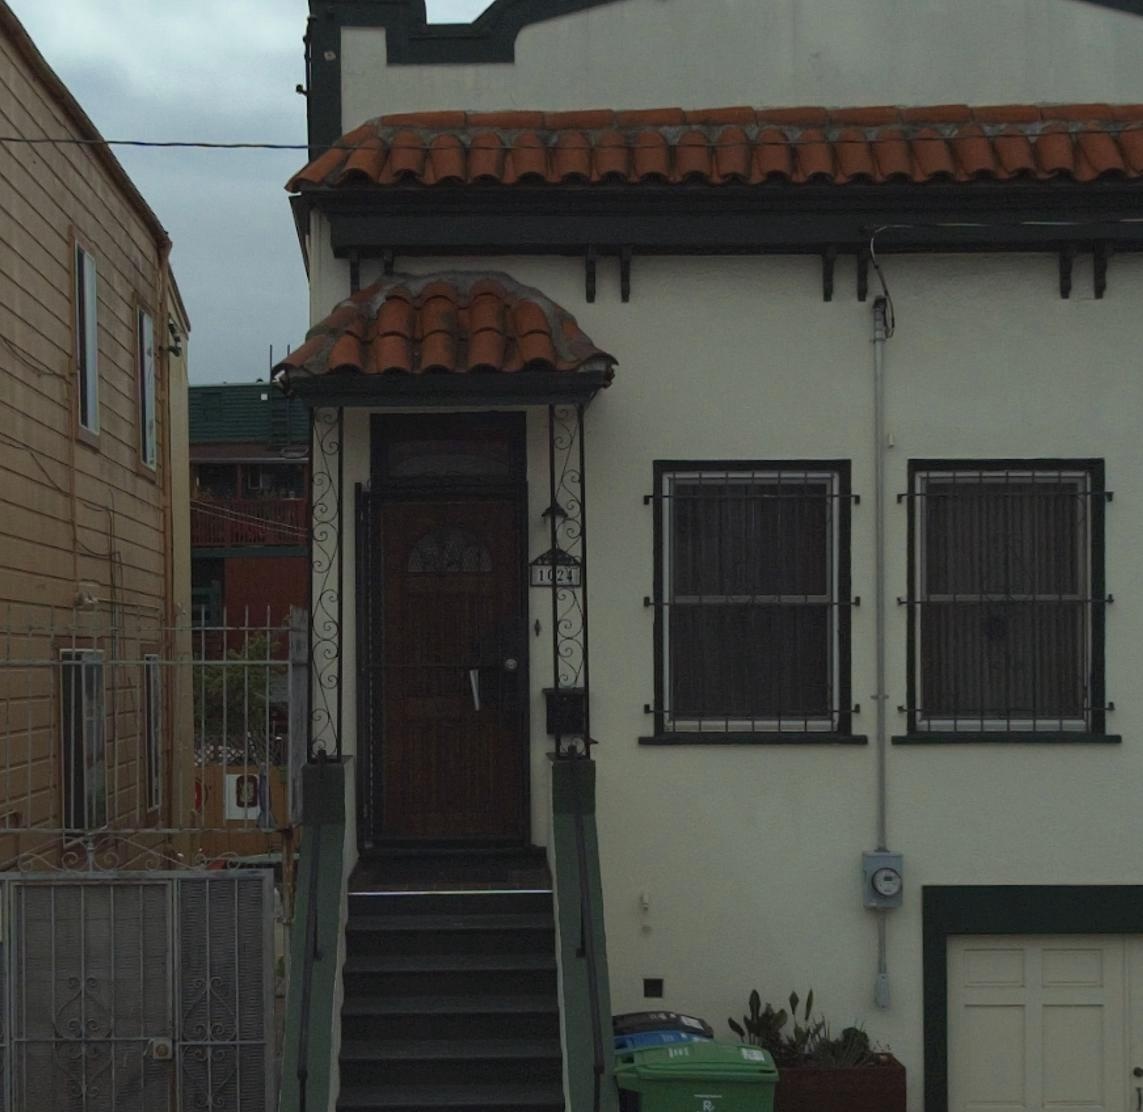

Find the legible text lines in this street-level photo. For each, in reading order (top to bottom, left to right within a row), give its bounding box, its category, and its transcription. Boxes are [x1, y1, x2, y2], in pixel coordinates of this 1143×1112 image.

[538, 567, 575, 584] StreetNumber: 1024